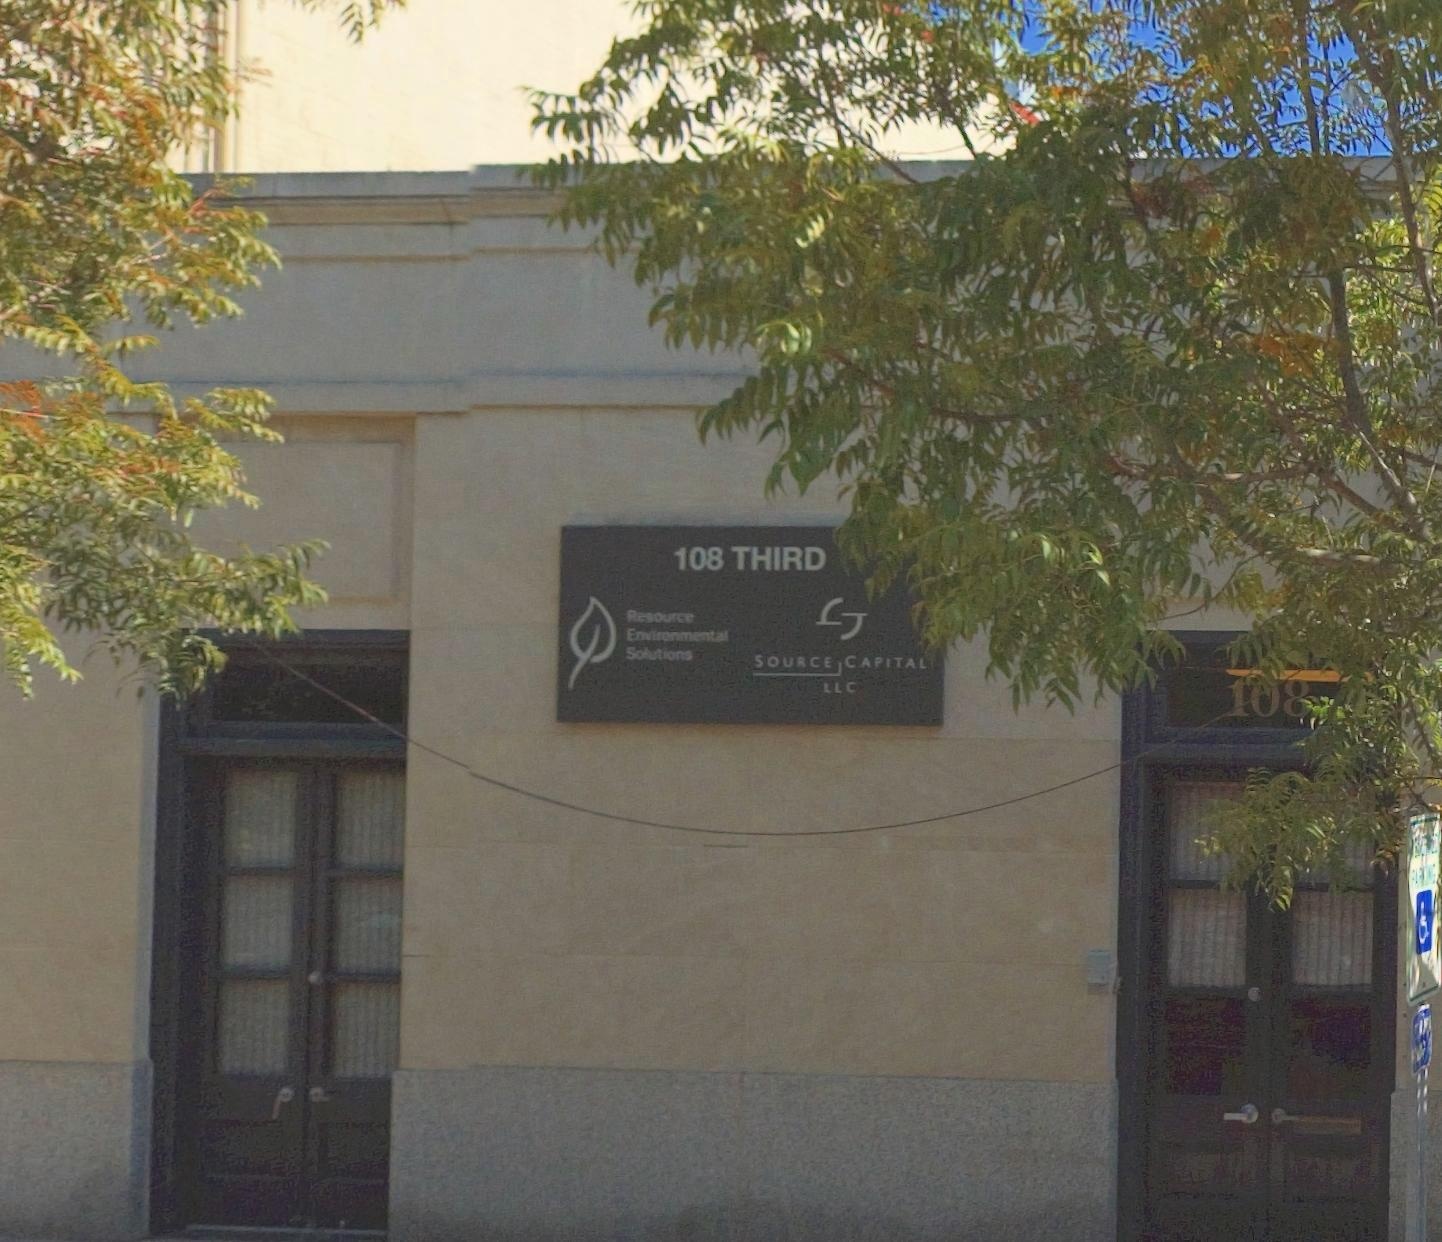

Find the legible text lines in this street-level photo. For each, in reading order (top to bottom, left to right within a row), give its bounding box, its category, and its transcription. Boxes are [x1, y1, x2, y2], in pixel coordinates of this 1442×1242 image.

[672, 543, 728, 576] StreetNumber: 108
[728, 543, 831, 574] StreetName: THIRD
[623, 607, 697, 627] BusinessName: Resource
[624, 625, 732, 645] BusinessName: Environmental
[622, 644, 696, 664] BusinessName: Solutions
[751, 652, 929, 672] BusinessName: SOURCE*CAPITAL
[821, 679, 858, 697] BusinessName: LLC
[1224, 675, 1318, 722] StreetNumber: 1*8